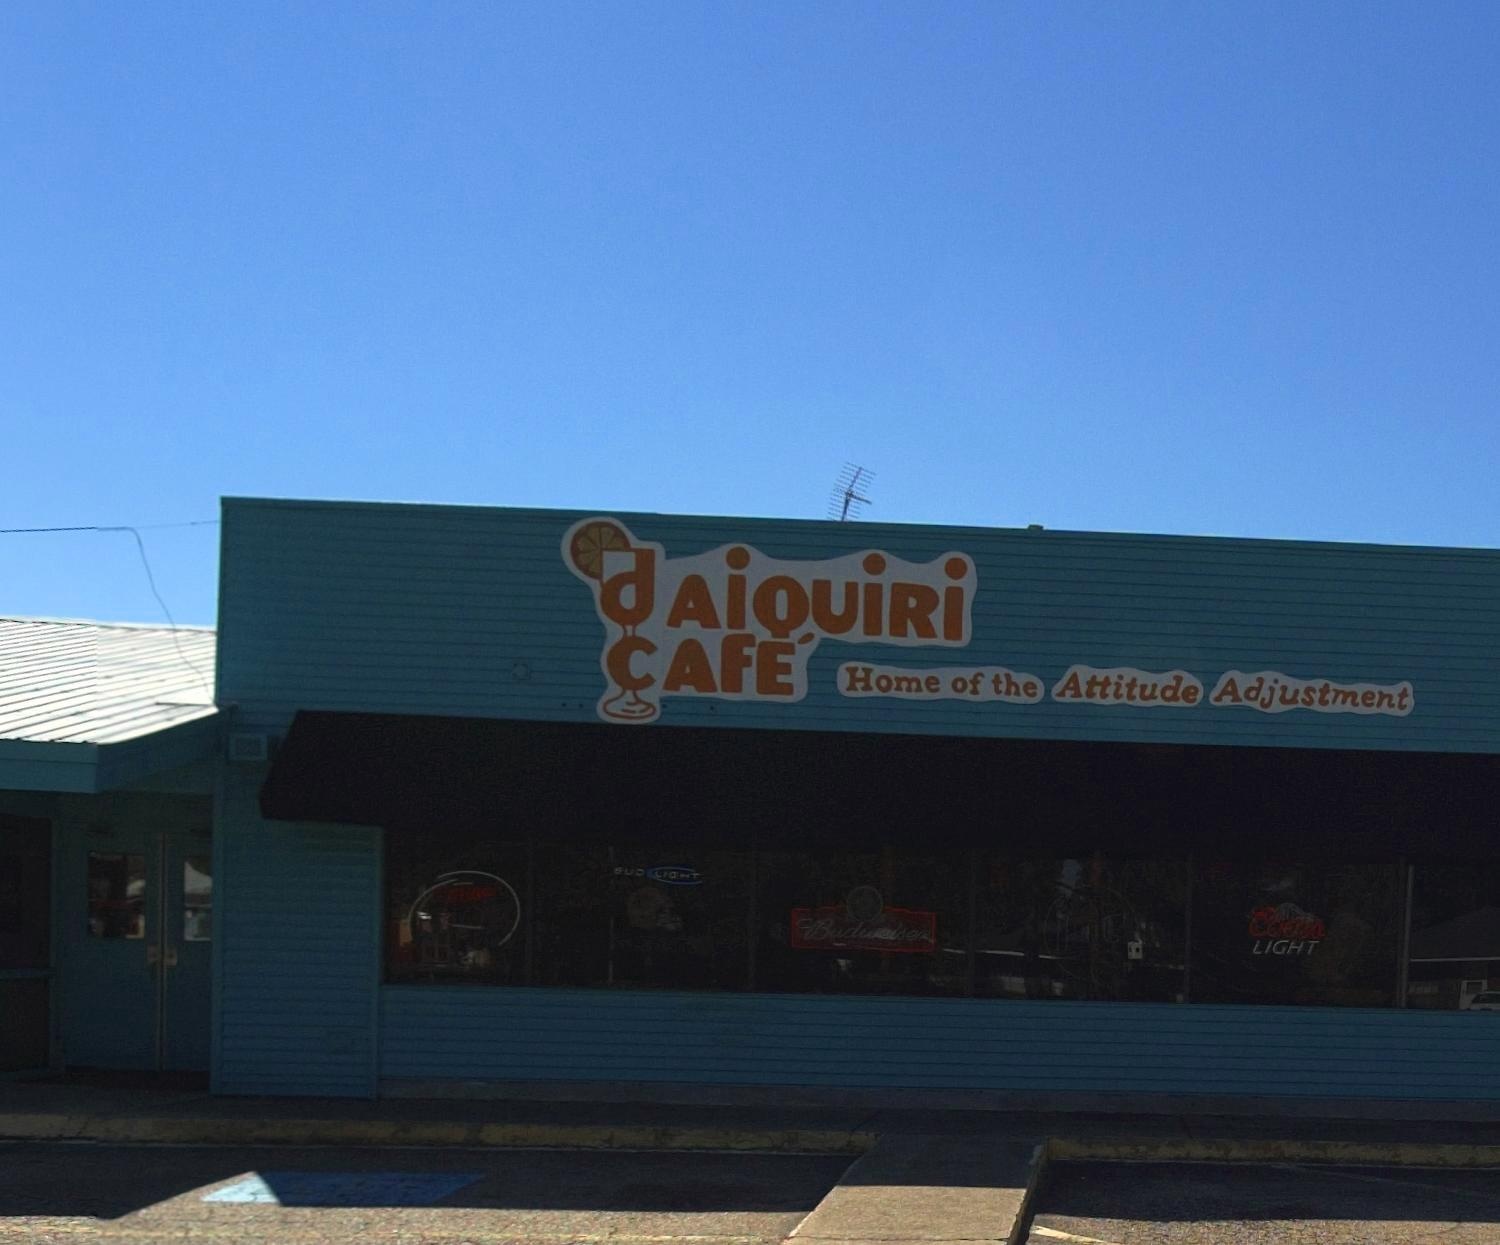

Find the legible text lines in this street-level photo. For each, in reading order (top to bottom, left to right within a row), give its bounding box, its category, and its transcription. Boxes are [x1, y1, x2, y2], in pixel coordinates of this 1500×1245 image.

[593, 542, 975, 645] BusinessName: dAiQuiRi
[598, 629, 821, 703] BusinessName: cAfE'
[841, 662, 1414, 714] None: Home of the Attitude Adjustment
[609, 863, 705, 884] BusinessName: BUD LIGHT
[794, 911, 932, 945] BusinessName: Budweiser
[1246, 937, 1323, 958] BusinessName: LIGHT
[1246, 902, 1329, 942] BusinessName: Coors